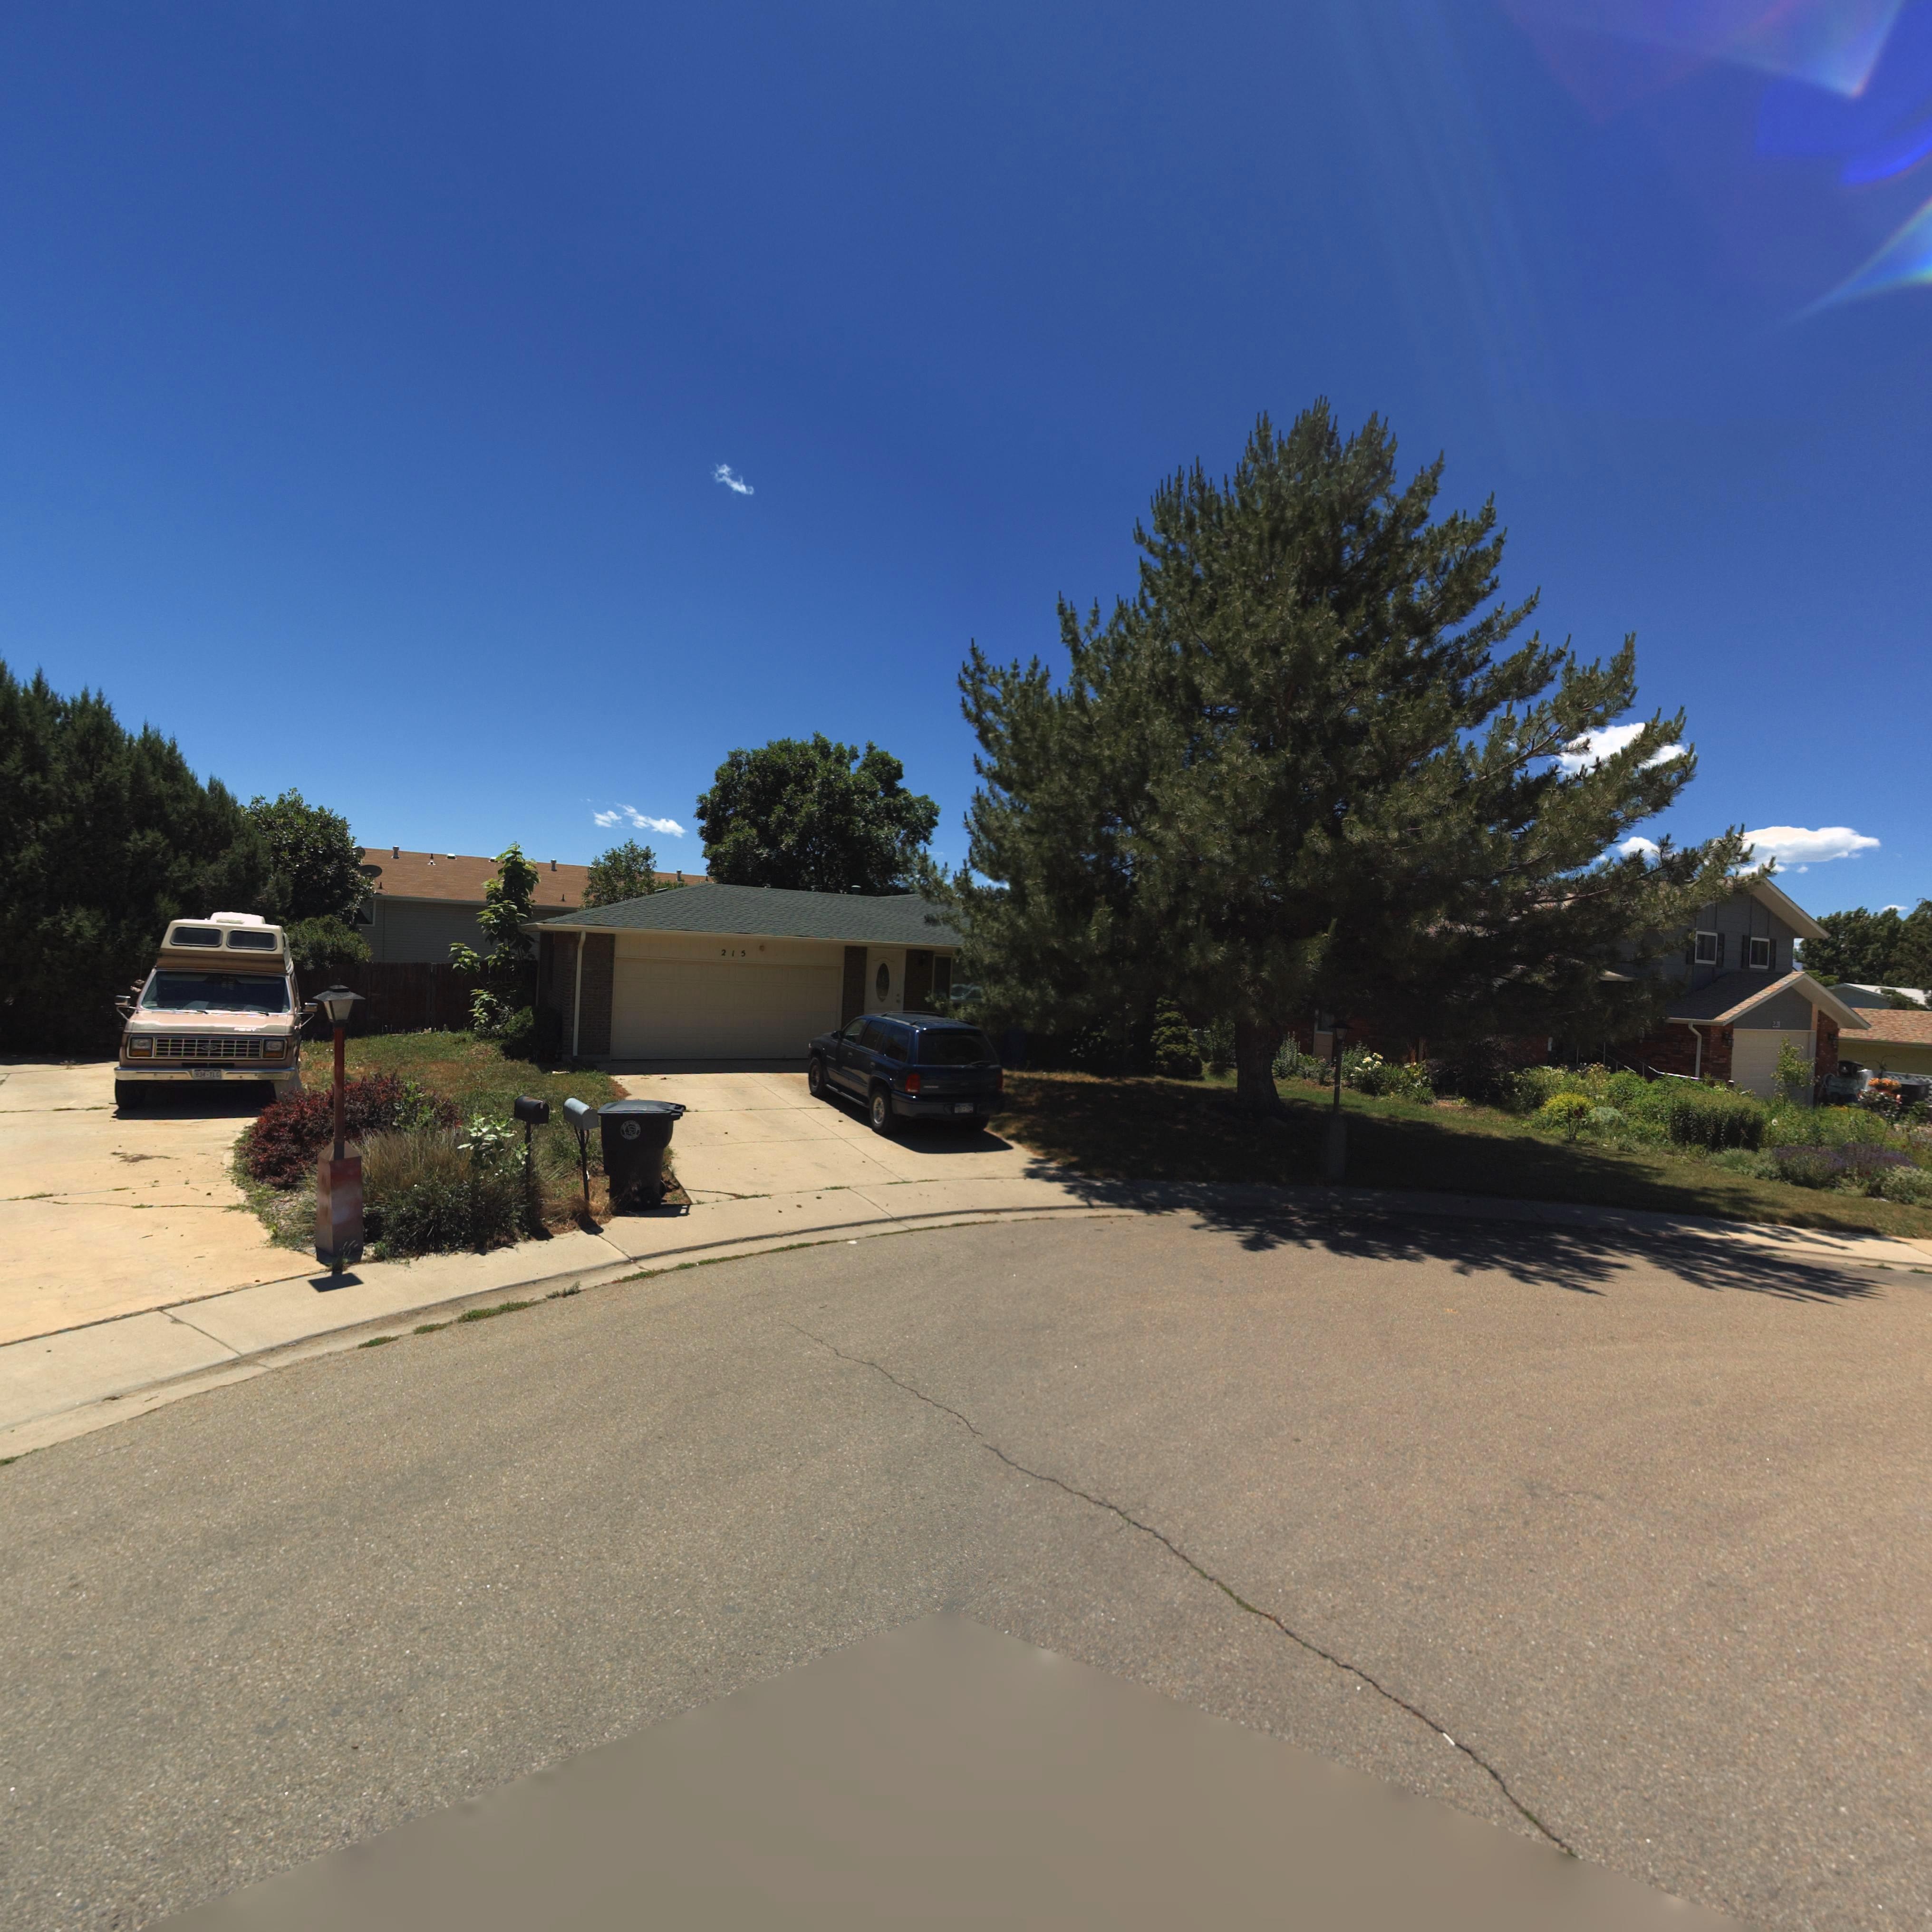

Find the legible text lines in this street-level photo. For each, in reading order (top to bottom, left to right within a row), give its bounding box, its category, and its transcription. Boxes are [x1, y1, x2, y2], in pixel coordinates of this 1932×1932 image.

[721, 949, 746, 957] StreetNumber: 215